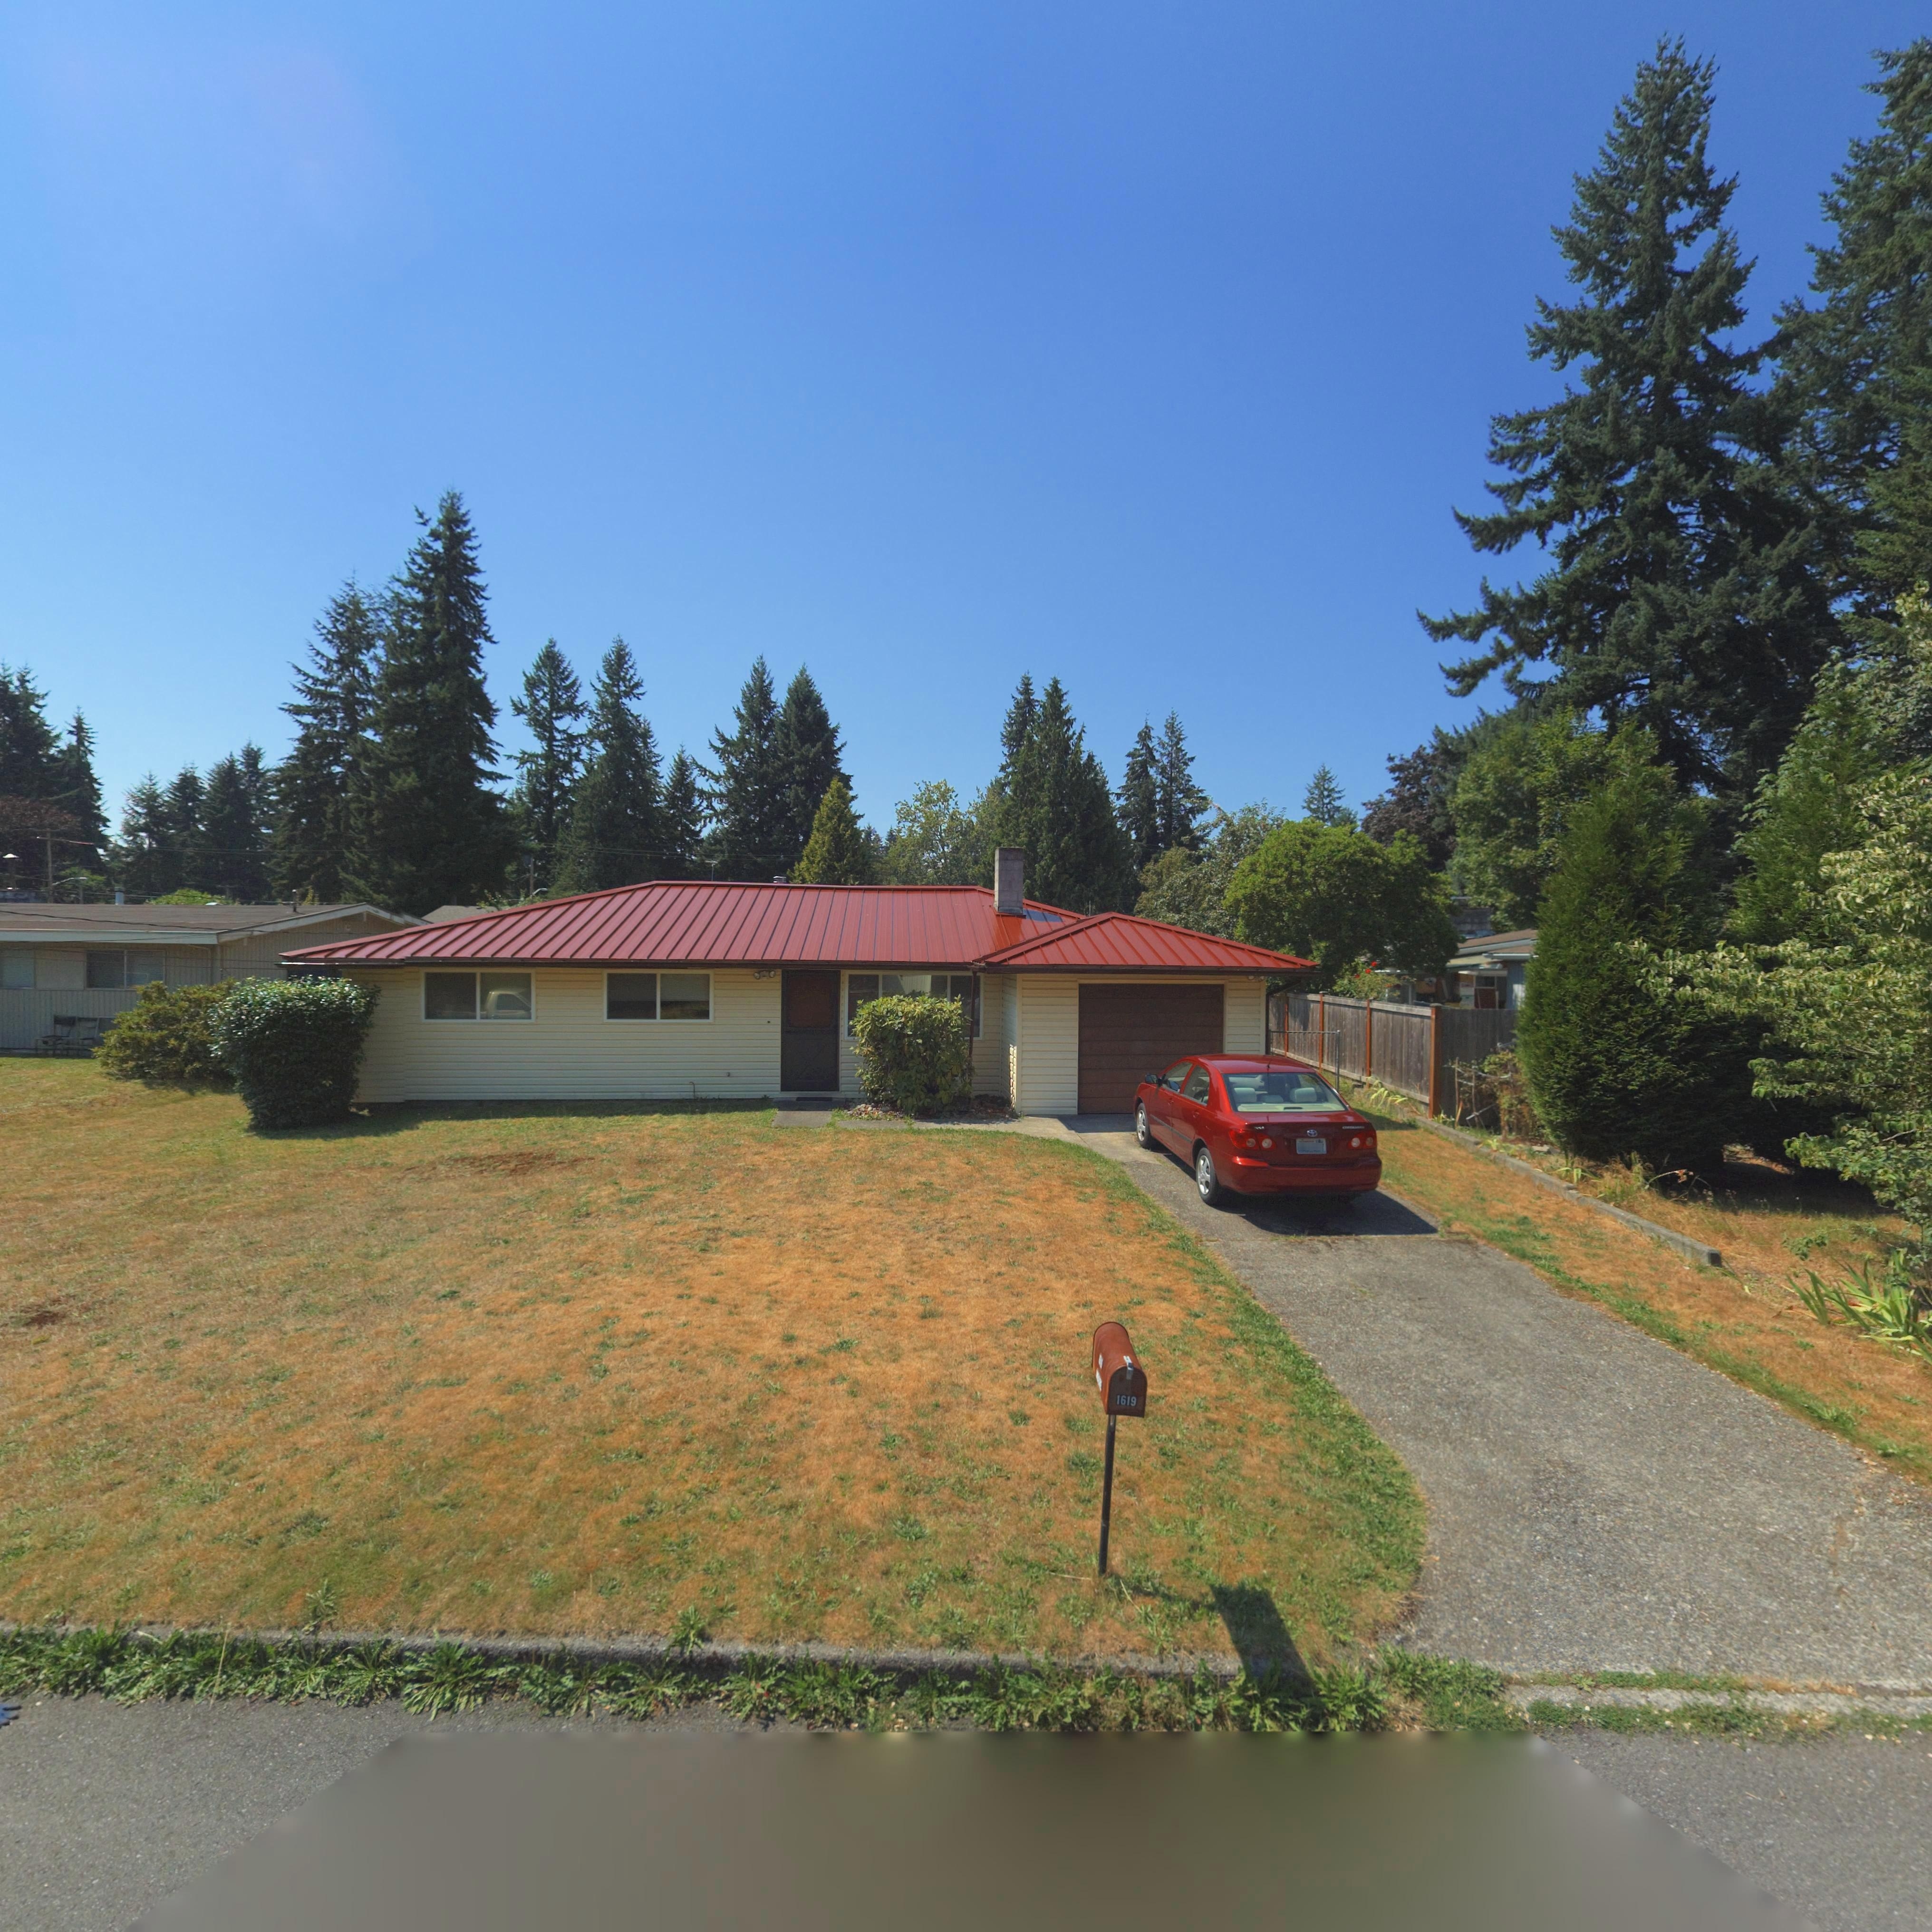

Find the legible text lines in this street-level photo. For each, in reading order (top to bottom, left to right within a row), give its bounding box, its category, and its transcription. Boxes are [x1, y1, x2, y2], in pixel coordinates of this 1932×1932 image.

[1116, 1394, 1137, 1406] StreetNumber: 1619